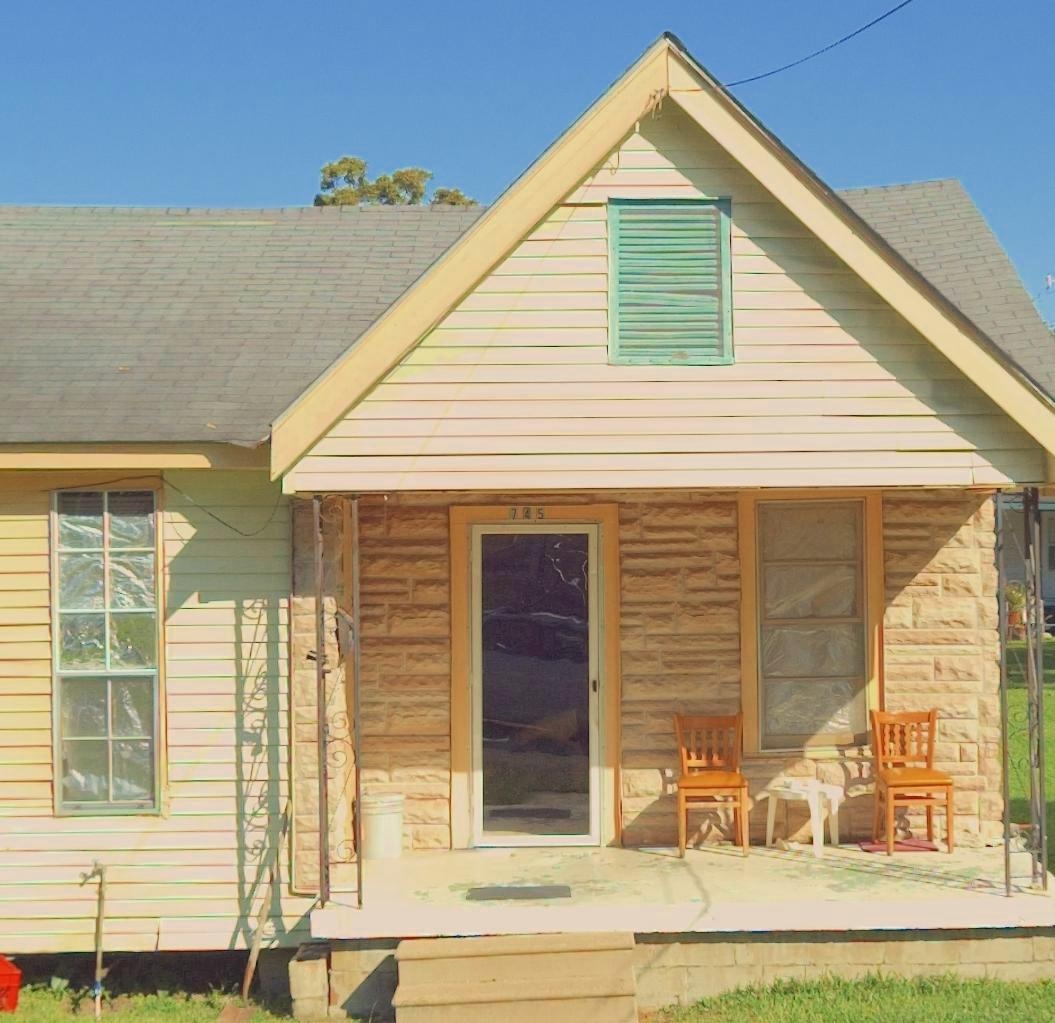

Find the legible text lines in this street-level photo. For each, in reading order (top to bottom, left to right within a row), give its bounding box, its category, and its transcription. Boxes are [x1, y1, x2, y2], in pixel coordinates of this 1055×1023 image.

[508, 505, 547, 523] StreetNumber: 745